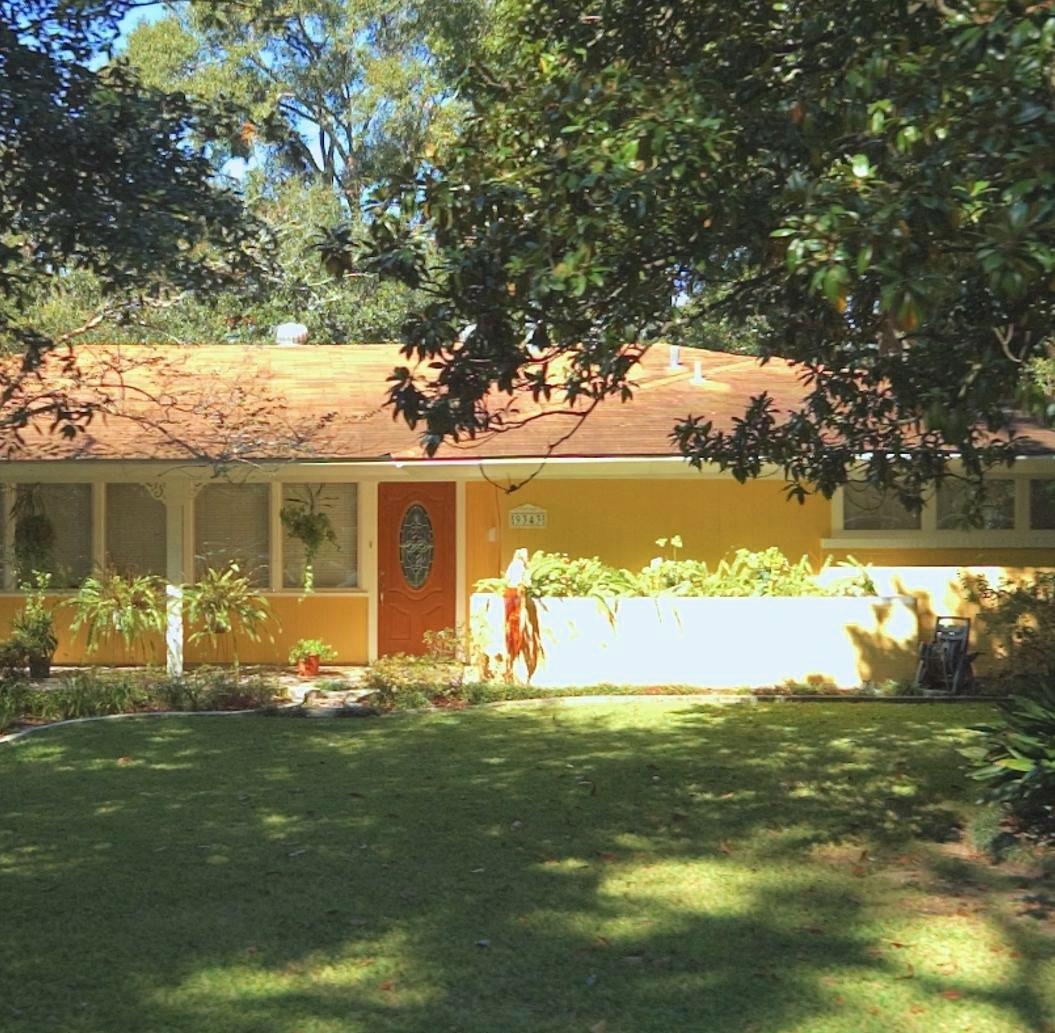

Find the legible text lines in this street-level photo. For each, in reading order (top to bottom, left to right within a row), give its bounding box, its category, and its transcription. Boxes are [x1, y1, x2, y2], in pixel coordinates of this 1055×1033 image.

[513, 513, 543, 525] StreetNumber: 9343